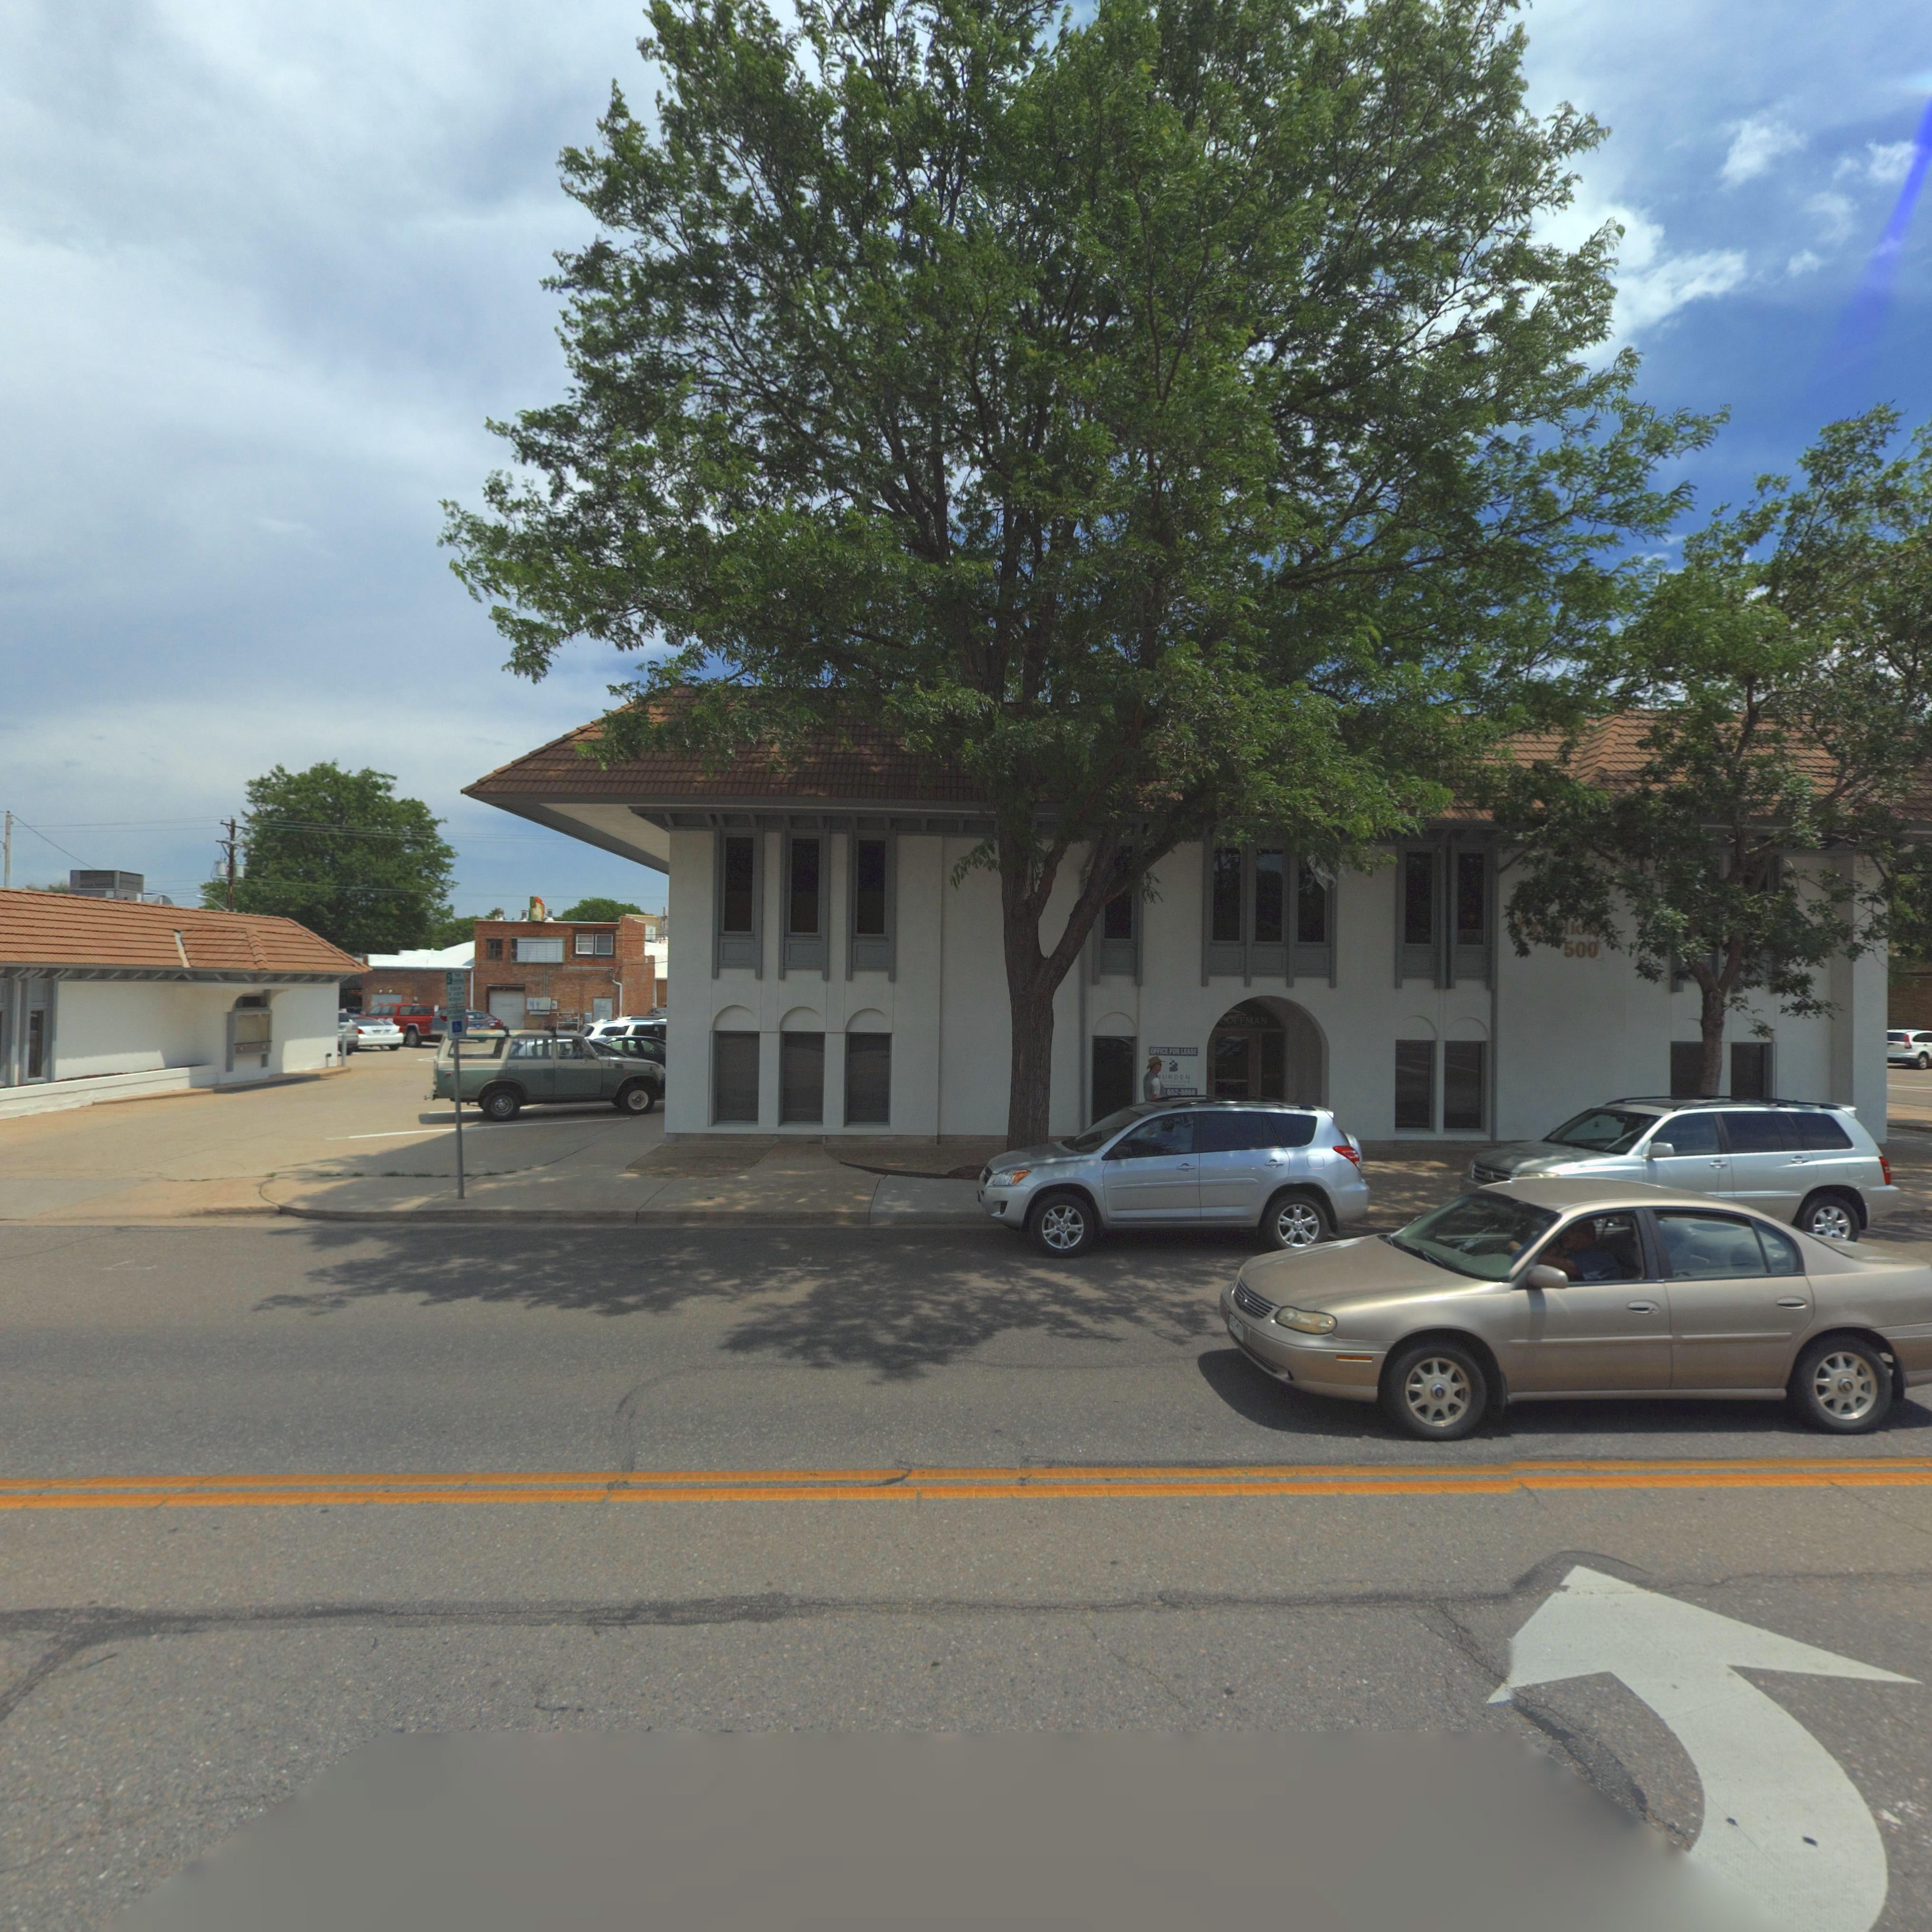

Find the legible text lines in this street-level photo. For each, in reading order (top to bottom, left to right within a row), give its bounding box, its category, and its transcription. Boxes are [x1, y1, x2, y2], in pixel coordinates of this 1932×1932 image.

[1562, 941, 1598, 958] StreetNumber: 500
[1220, 1016, 1267, 1024] StreetName: *OFFMAN